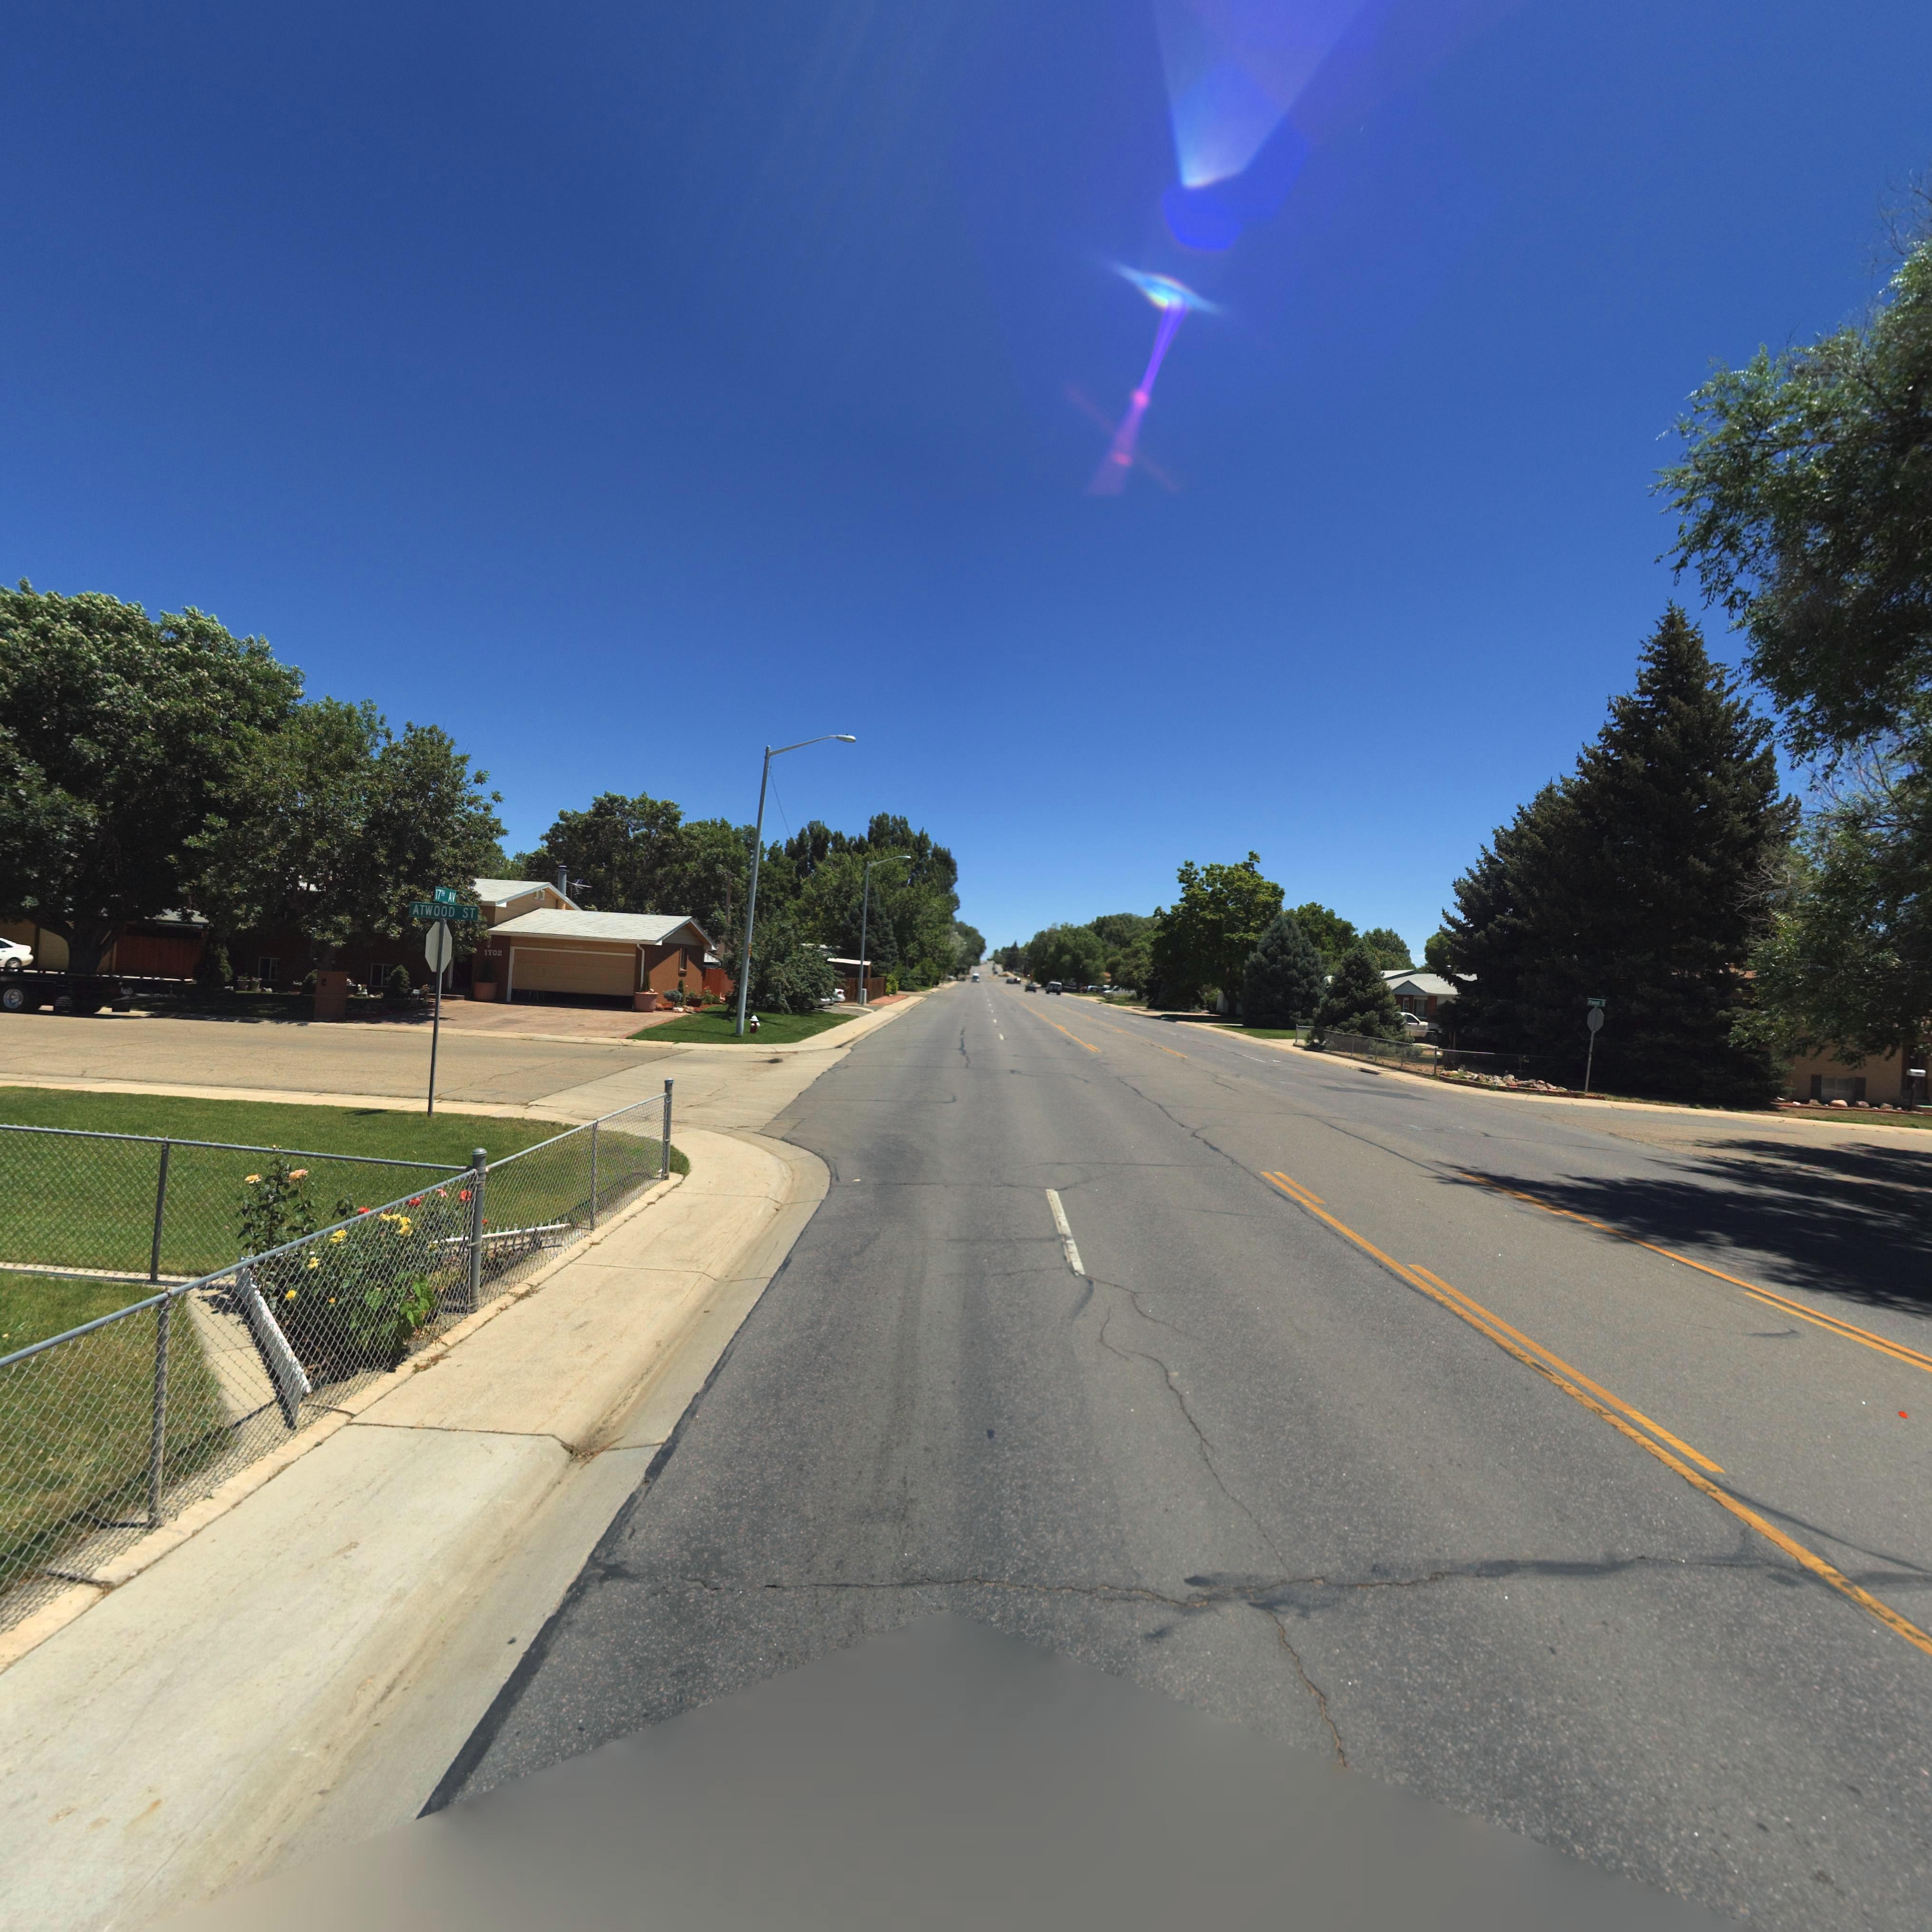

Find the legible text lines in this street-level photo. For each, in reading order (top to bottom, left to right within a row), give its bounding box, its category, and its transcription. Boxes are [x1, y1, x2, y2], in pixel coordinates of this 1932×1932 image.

[435, 889, 456, 903] StreetName: 17TH AV
[412, 904, 475, 918] StreetName: ATWOOD ST
[484, 949, 502, 956] StreetNumber: 1702
[1587, 1000, 1605, 1005] StreetName: Atwood St